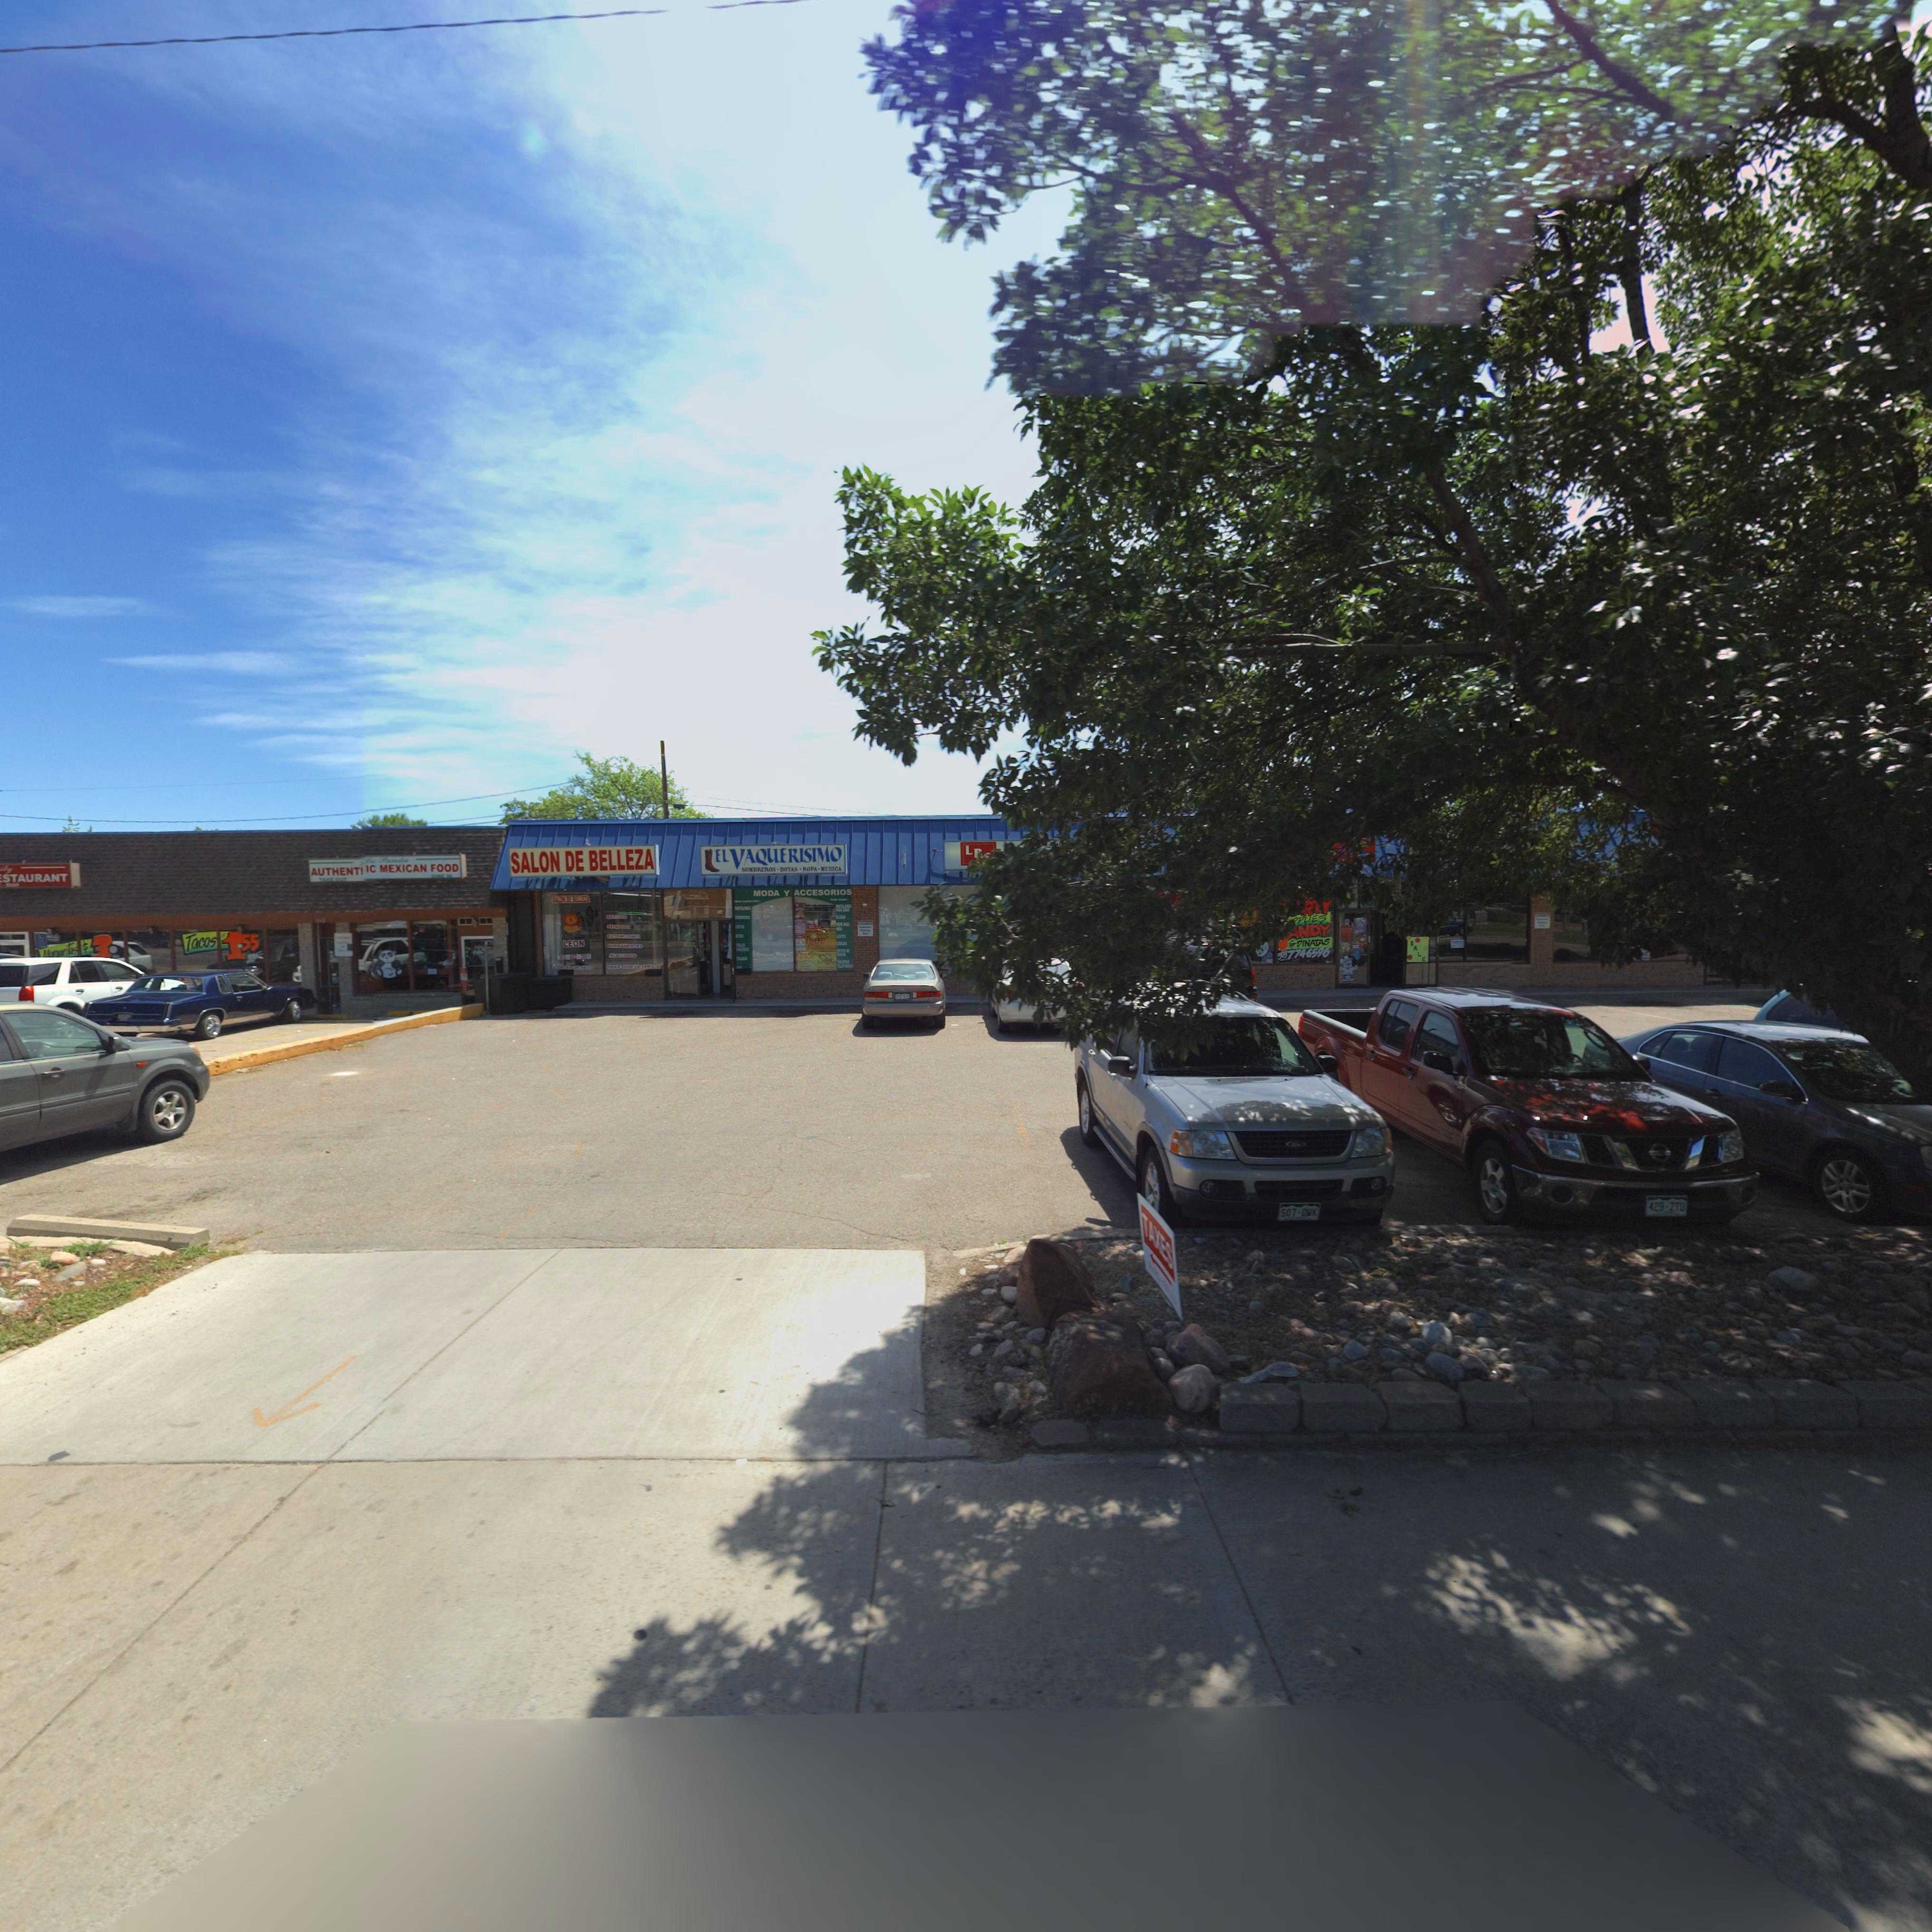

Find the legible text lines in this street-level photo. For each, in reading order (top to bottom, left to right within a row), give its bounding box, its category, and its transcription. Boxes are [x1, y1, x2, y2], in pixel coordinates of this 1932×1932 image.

[360, 856, 409, 865] BusinessName: **a *a****
[510, 848, 655, 874] BusinessName: SALON DE BELLEZA
[715, 845, 842, 869] BusinessName: ELVAQUERISIMO
[310, 863, 459, 876] BusinessName: AUTHENTIIC MEXICAN FOOD
[2, 873, 68, 882] BusinessName: STAURANT